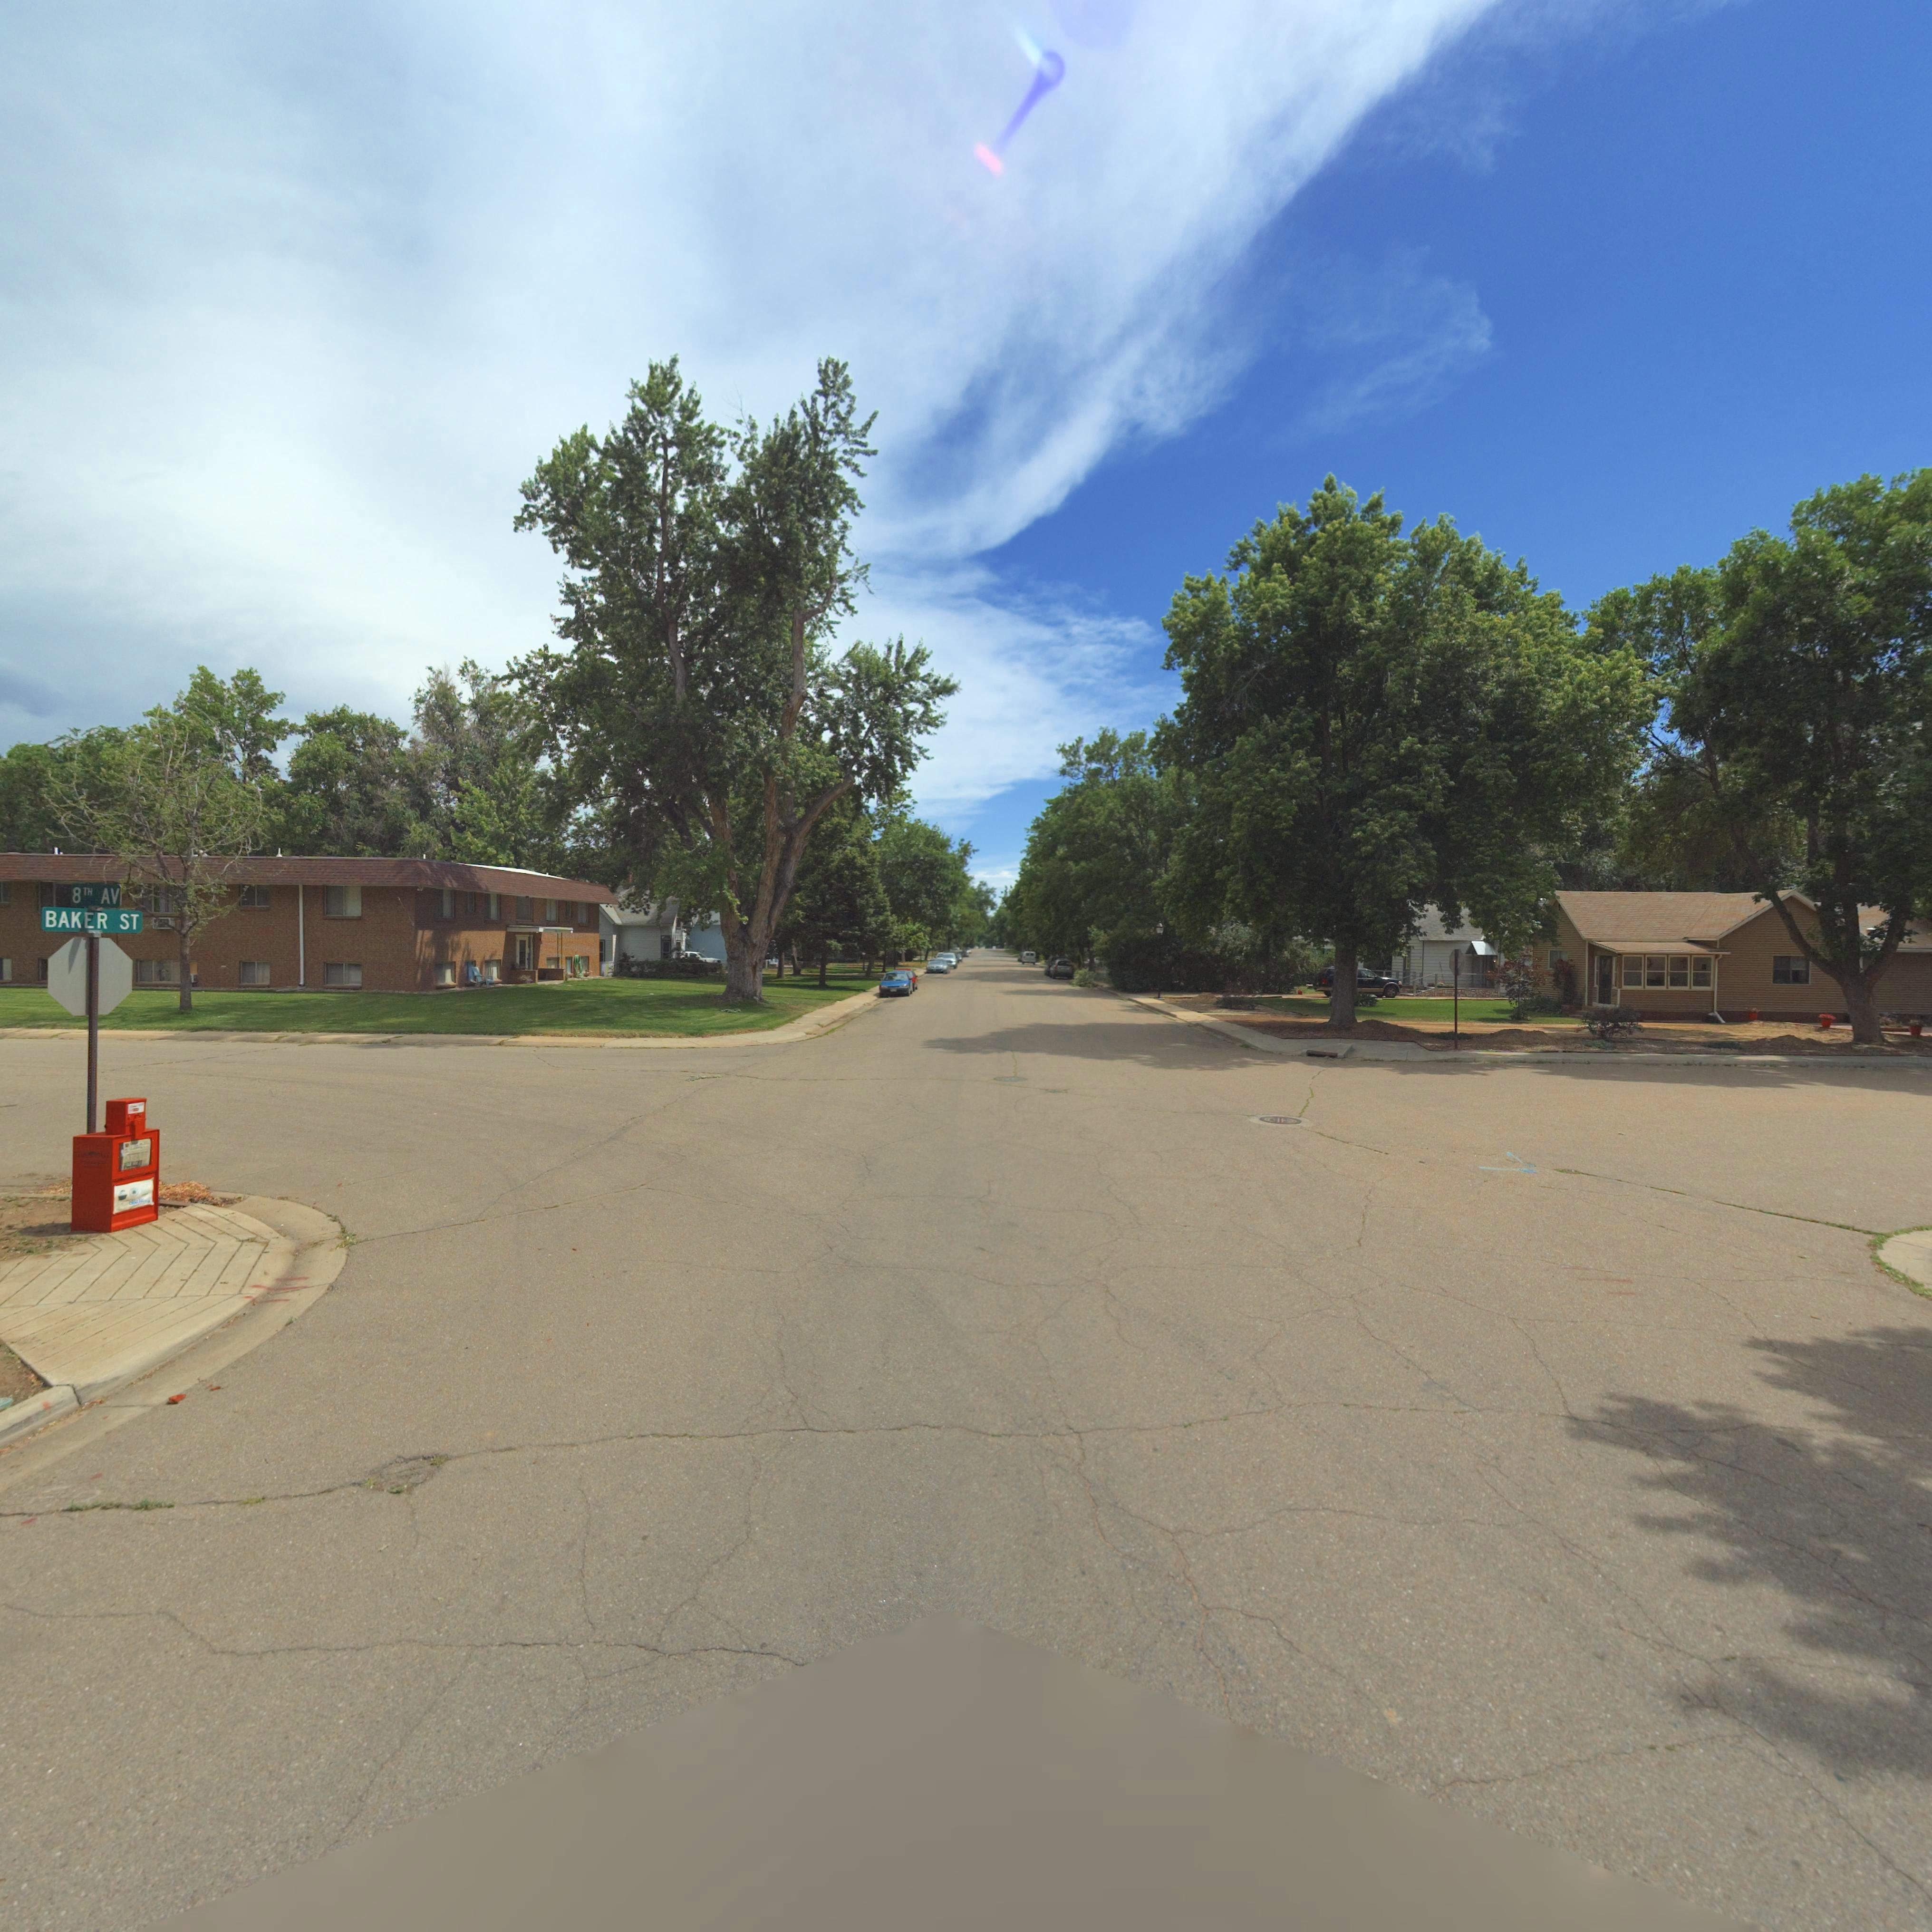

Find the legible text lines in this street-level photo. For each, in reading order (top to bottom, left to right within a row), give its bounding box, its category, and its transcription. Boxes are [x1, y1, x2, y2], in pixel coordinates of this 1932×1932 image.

[71, 886, 120, 905] StreetName: 8TH AV
[44, 909, 140, 930] StreetName: BAKER ST